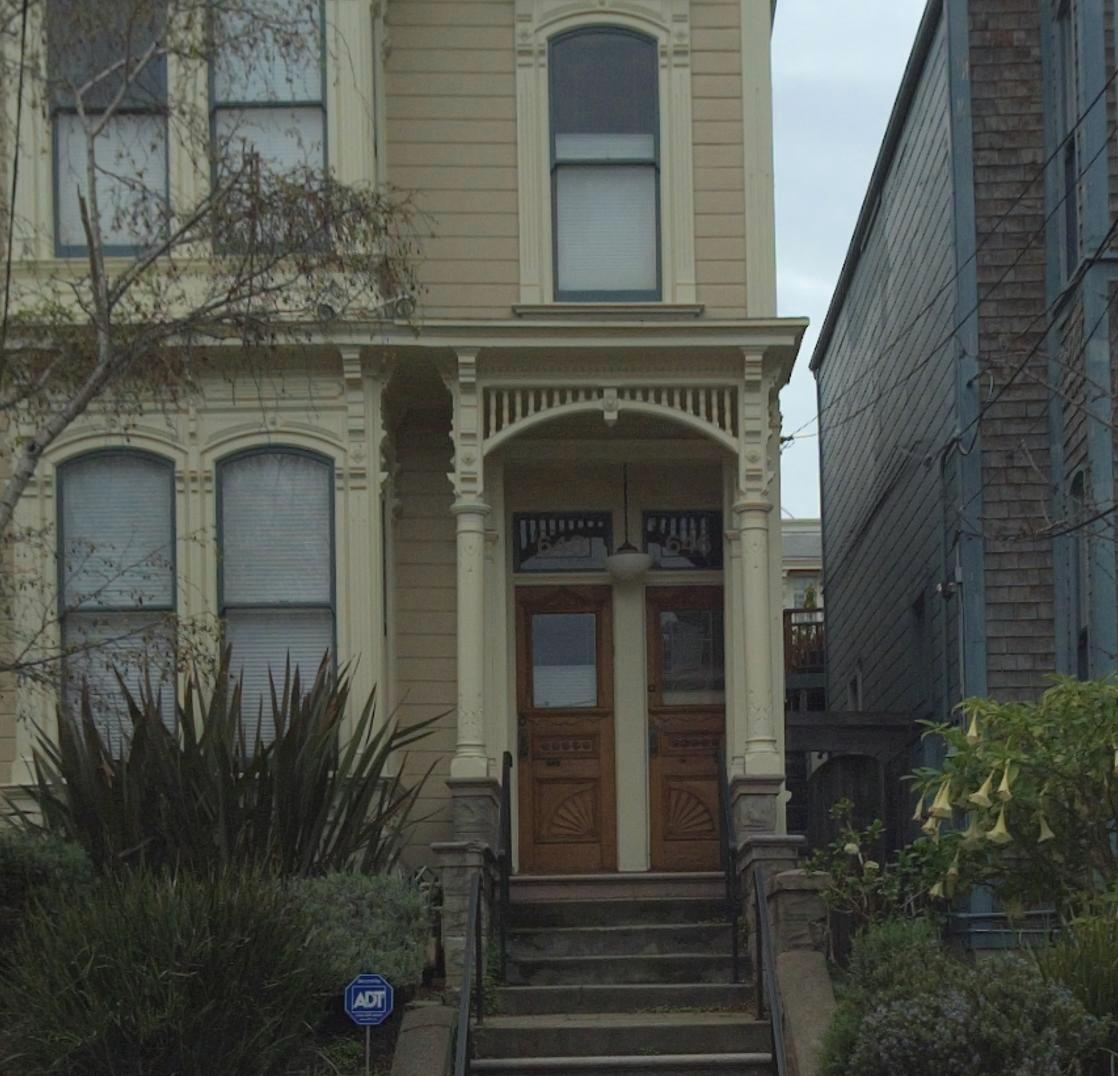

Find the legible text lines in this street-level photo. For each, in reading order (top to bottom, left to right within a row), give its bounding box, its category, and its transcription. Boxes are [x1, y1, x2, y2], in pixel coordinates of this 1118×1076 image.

[536, 533, 586, 558] StreetNumber: 648
[665, 532, 712, 554] StreetNumber: 646
[351, 990, 387, 1010] None: ADT